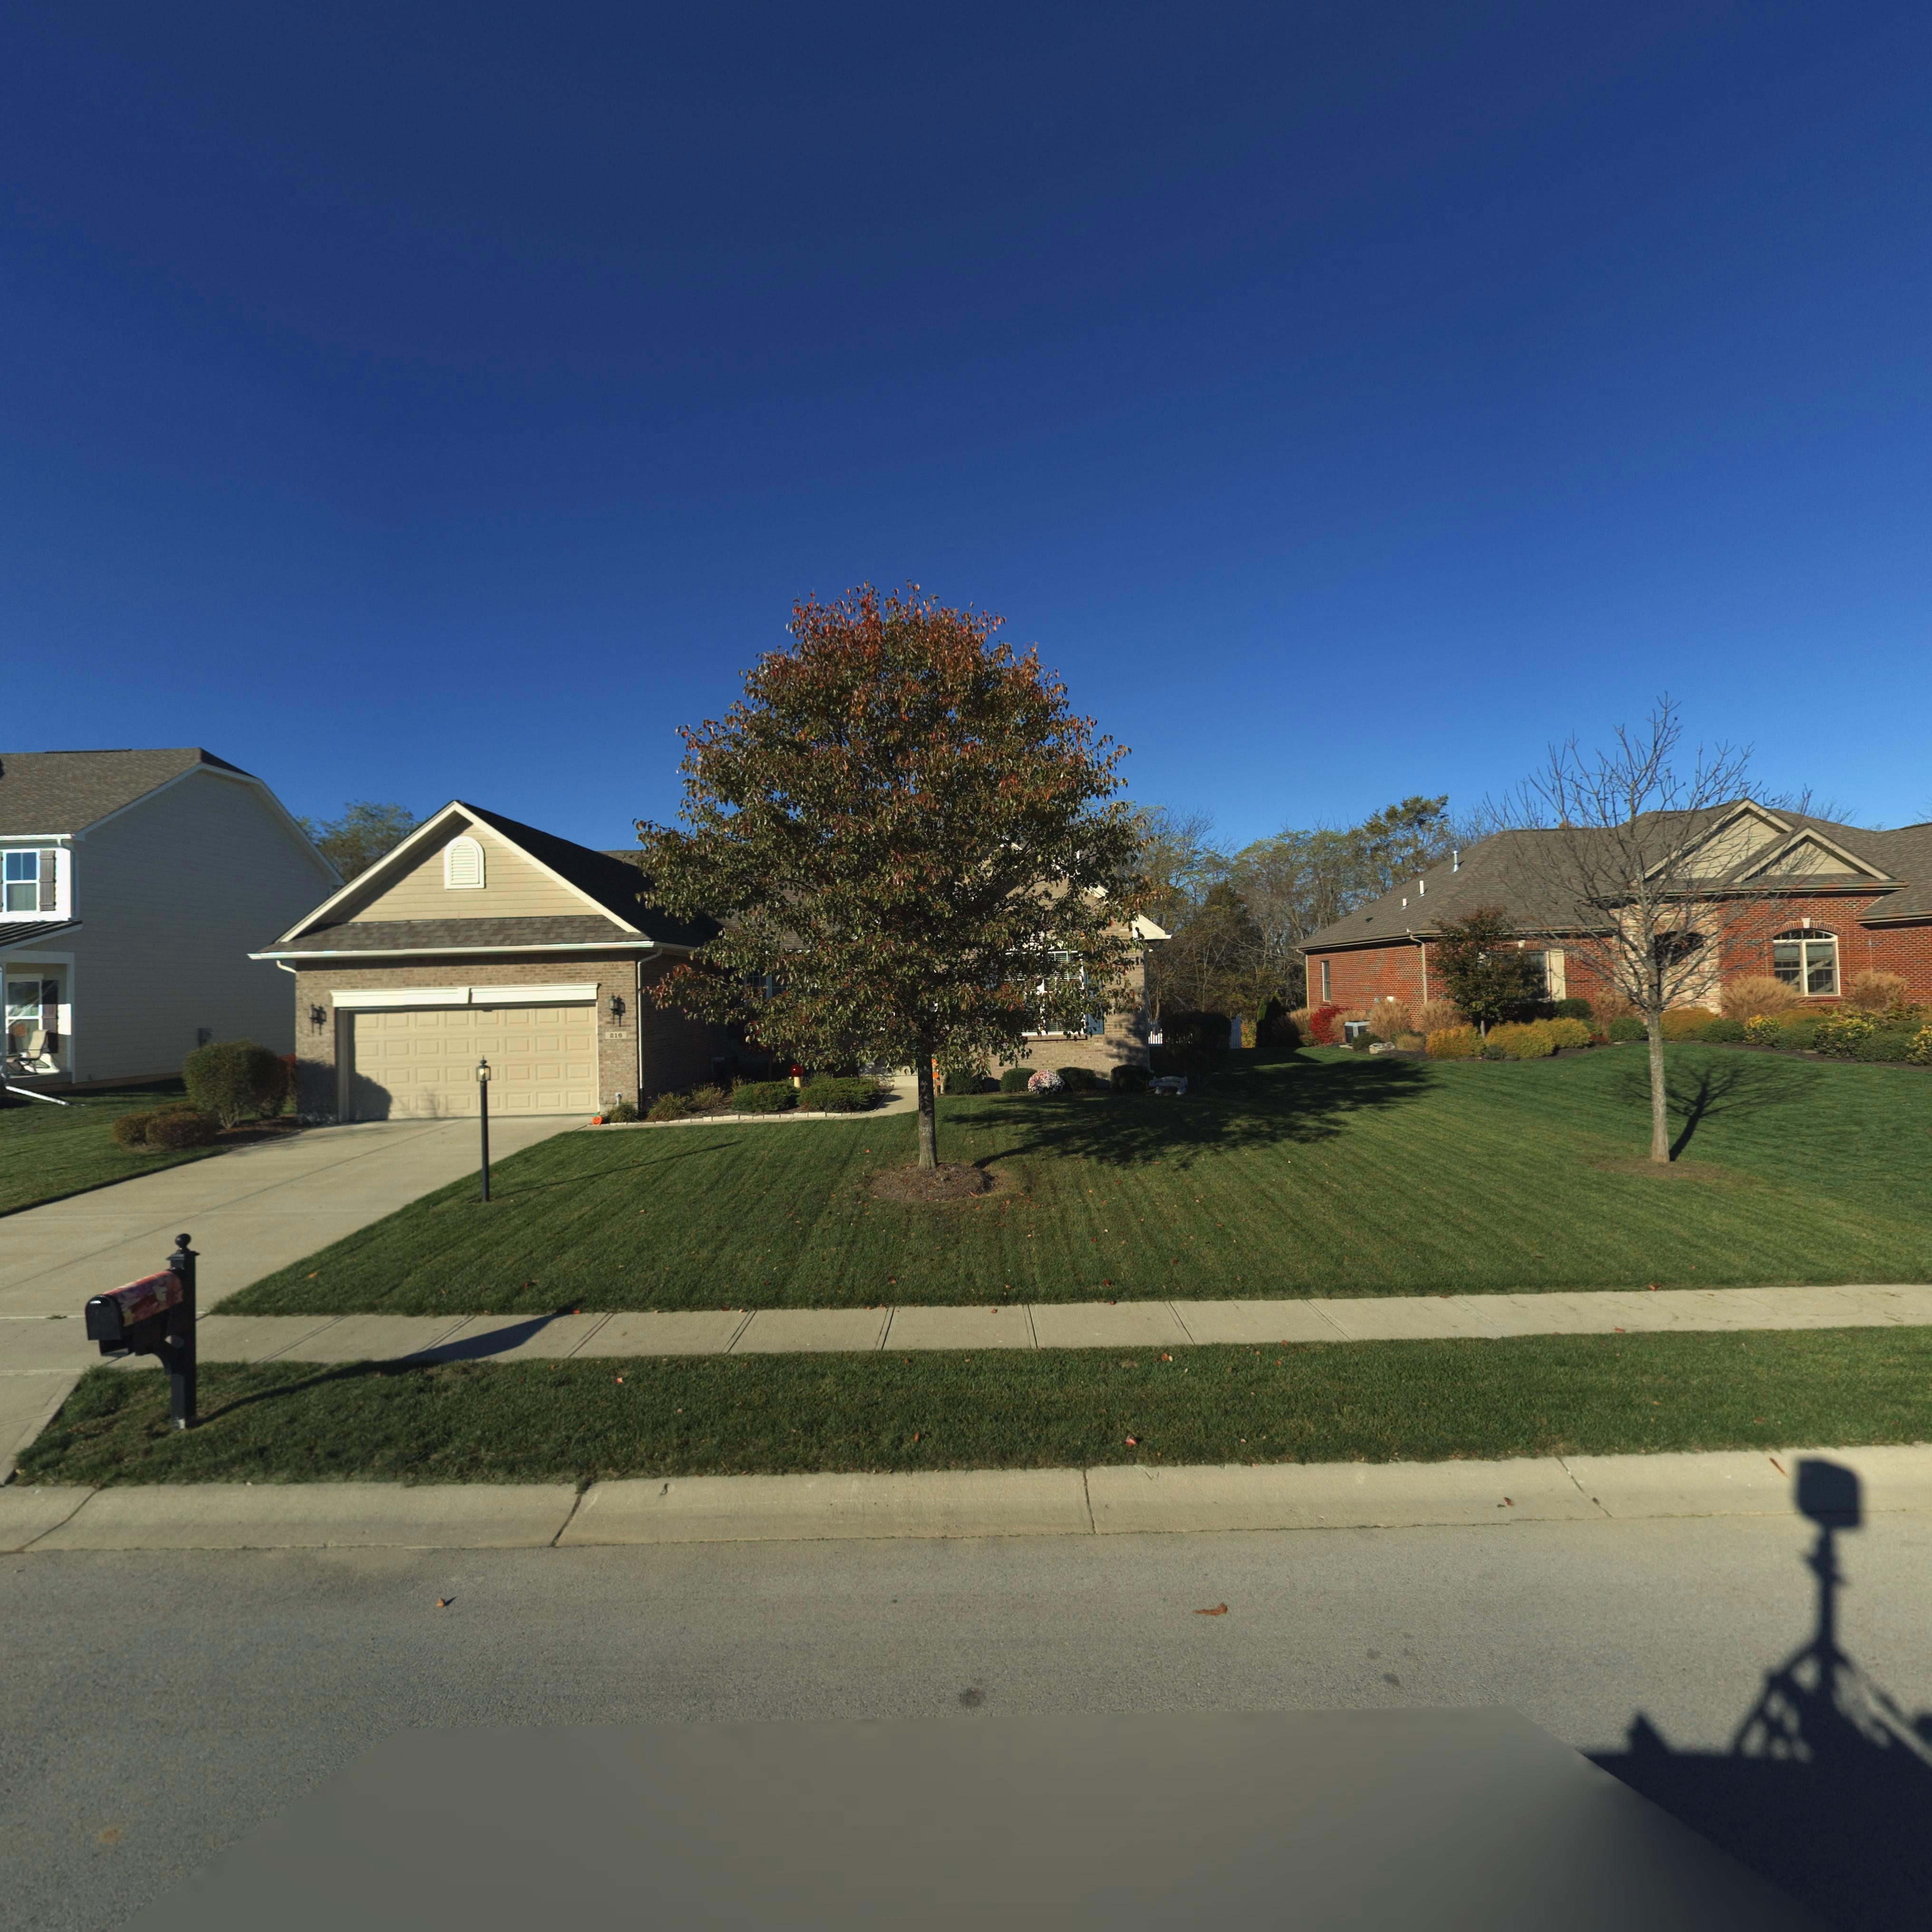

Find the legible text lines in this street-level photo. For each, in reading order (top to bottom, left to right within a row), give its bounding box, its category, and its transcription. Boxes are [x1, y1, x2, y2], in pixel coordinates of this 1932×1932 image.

[609, 1032, 623, 1039] StreetNumber: 216